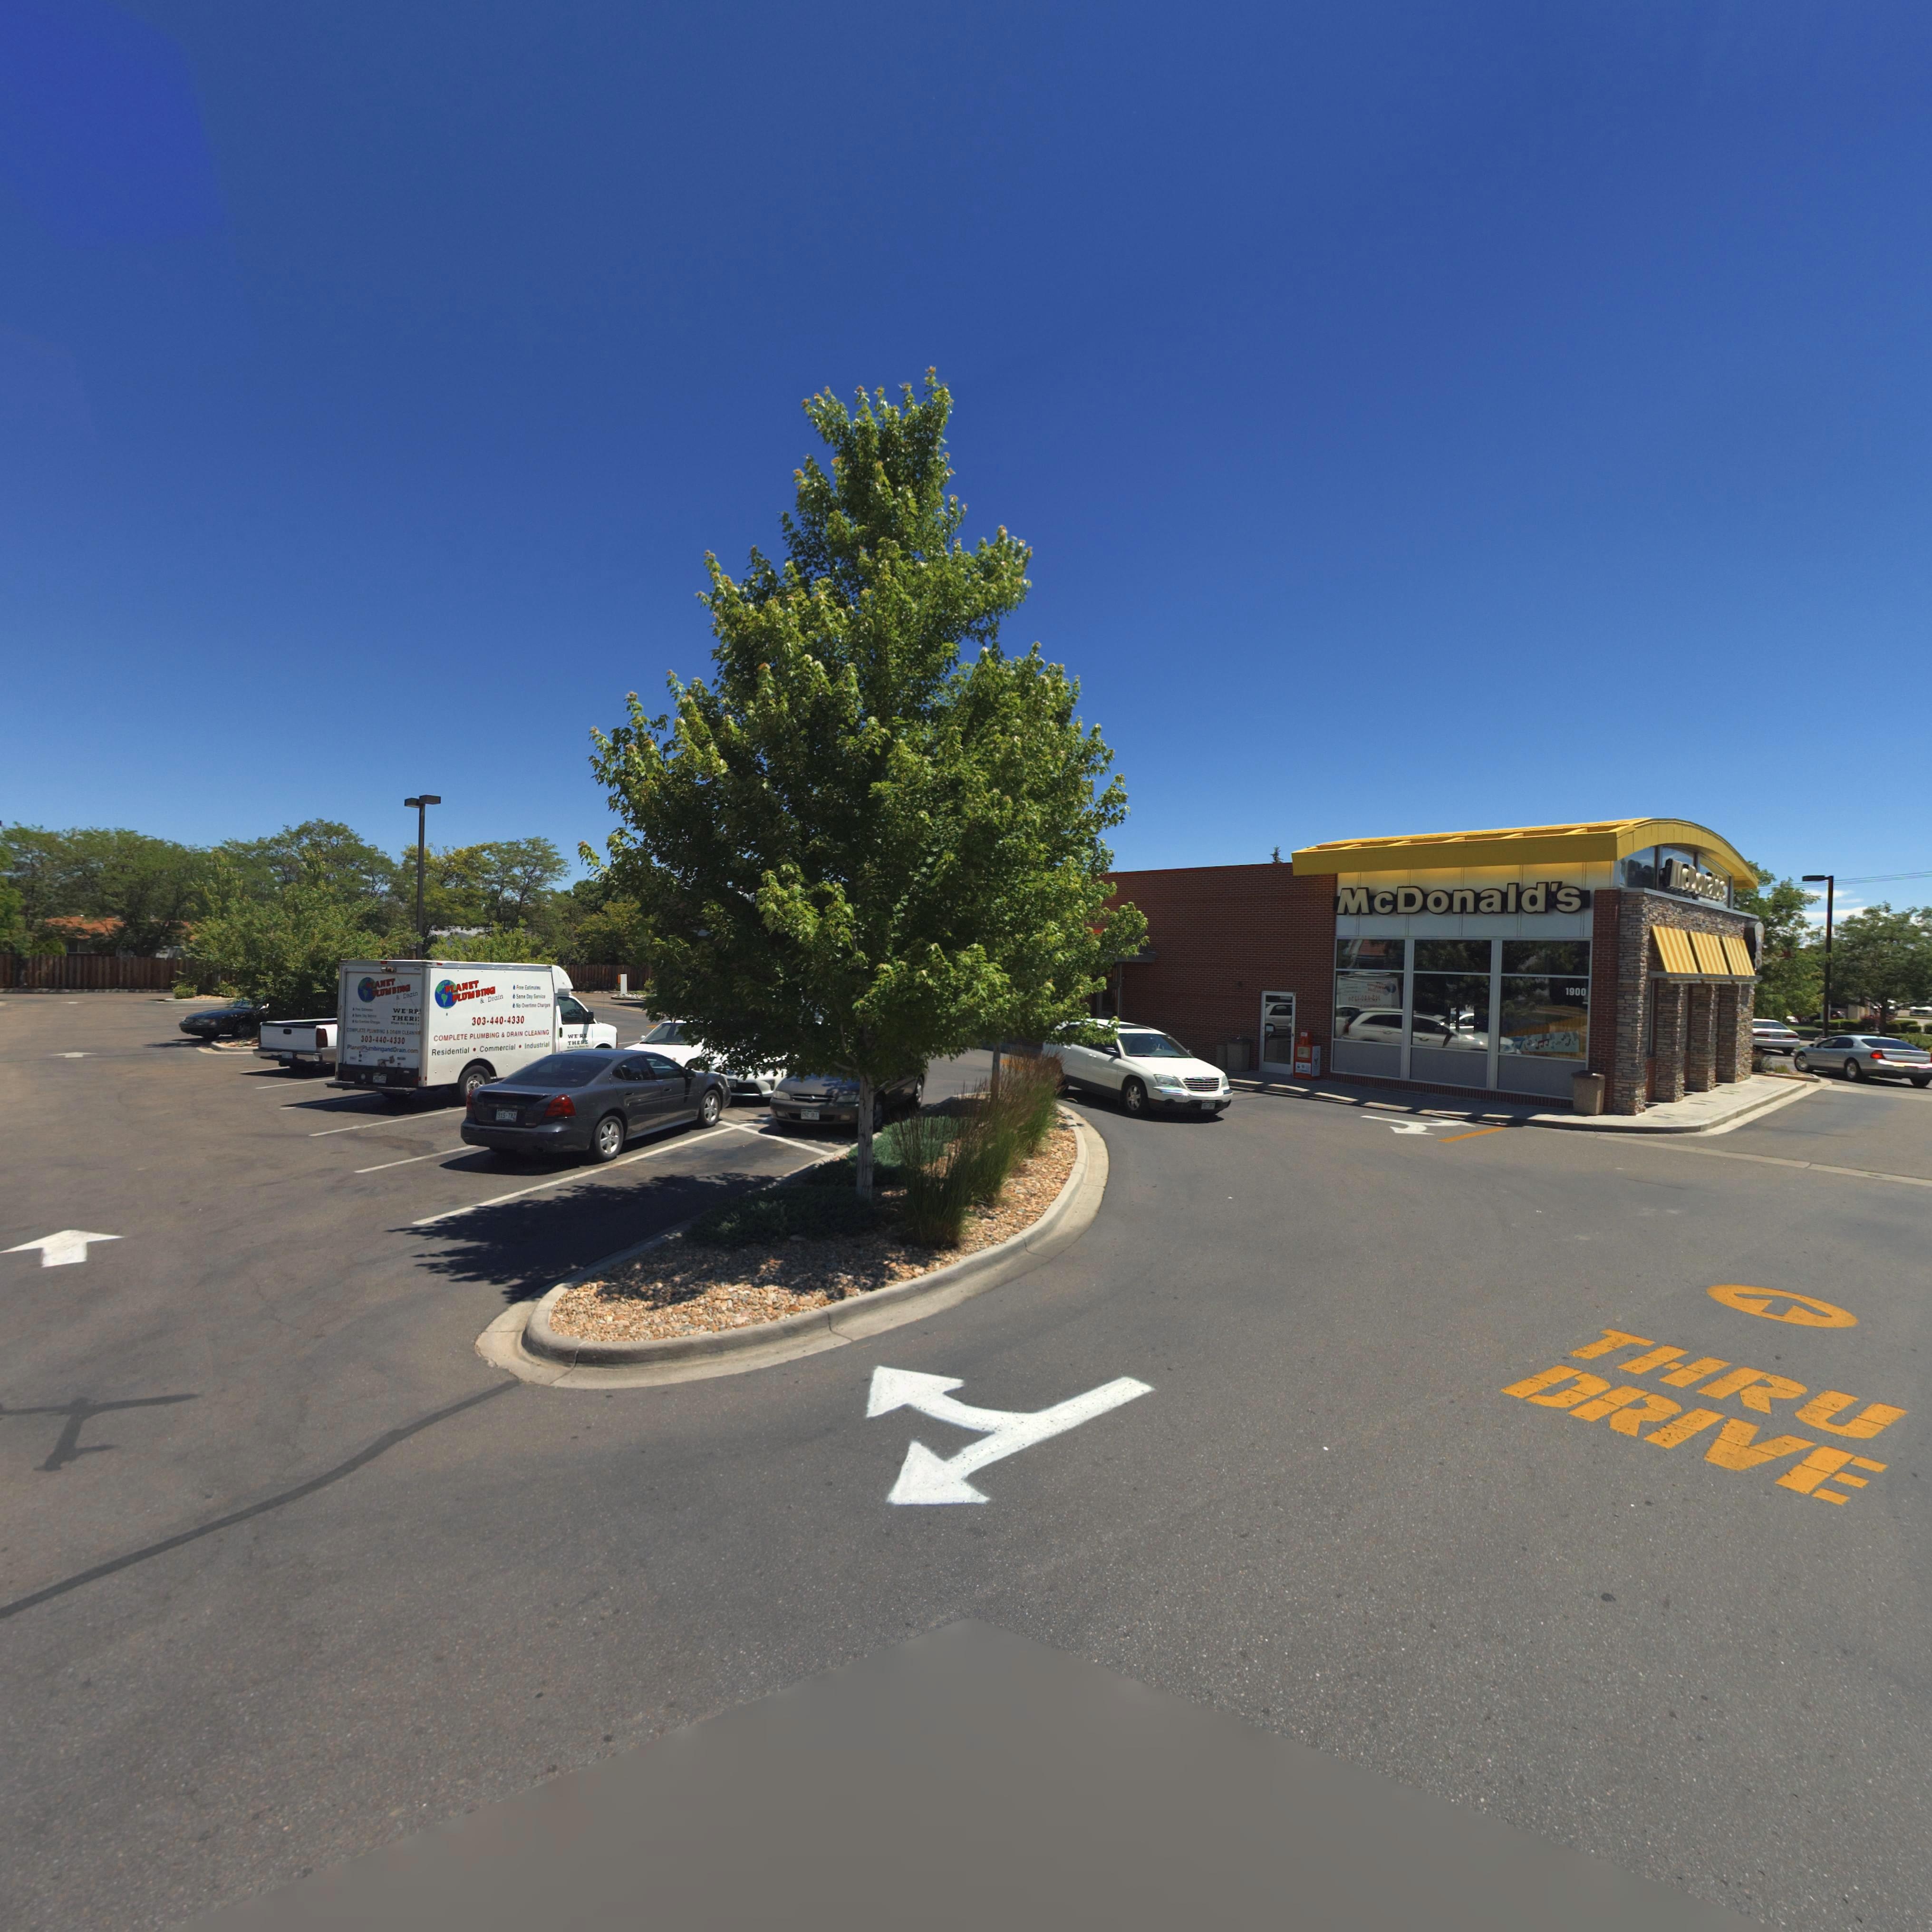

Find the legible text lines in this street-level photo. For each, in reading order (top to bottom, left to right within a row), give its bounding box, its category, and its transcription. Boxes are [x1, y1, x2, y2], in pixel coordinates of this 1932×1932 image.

[1334, 879, 1583, 916] BusinessName: McDonald's
[1666, 857, 1726, 902] BusinessName: McDo*ald*s
[1565, 987, 1586, 996] StreetNumber: 1900